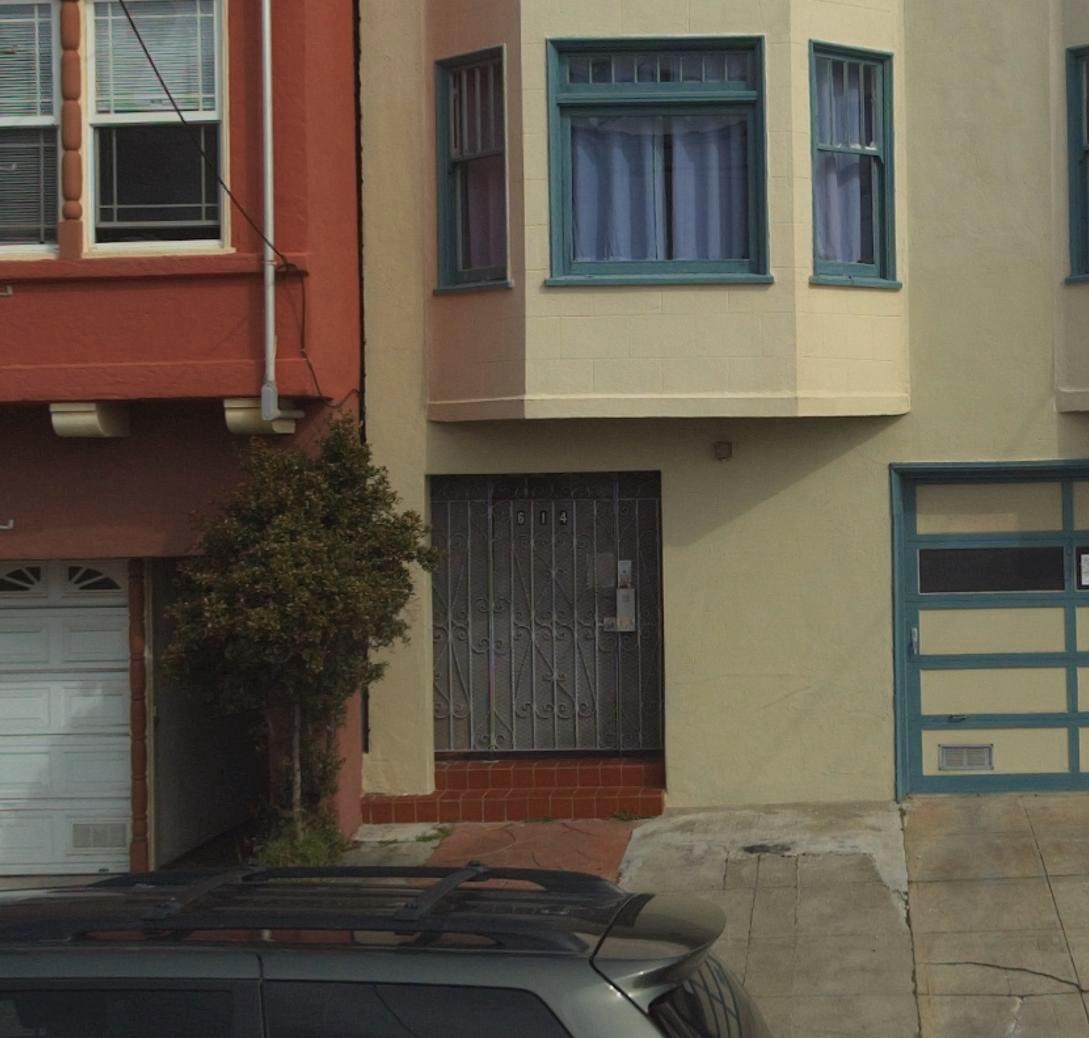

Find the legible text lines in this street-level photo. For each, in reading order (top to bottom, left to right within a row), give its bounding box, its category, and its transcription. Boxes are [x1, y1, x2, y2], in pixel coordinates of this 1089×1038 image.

[515, 510, 570, 526] StreetNumber: 614